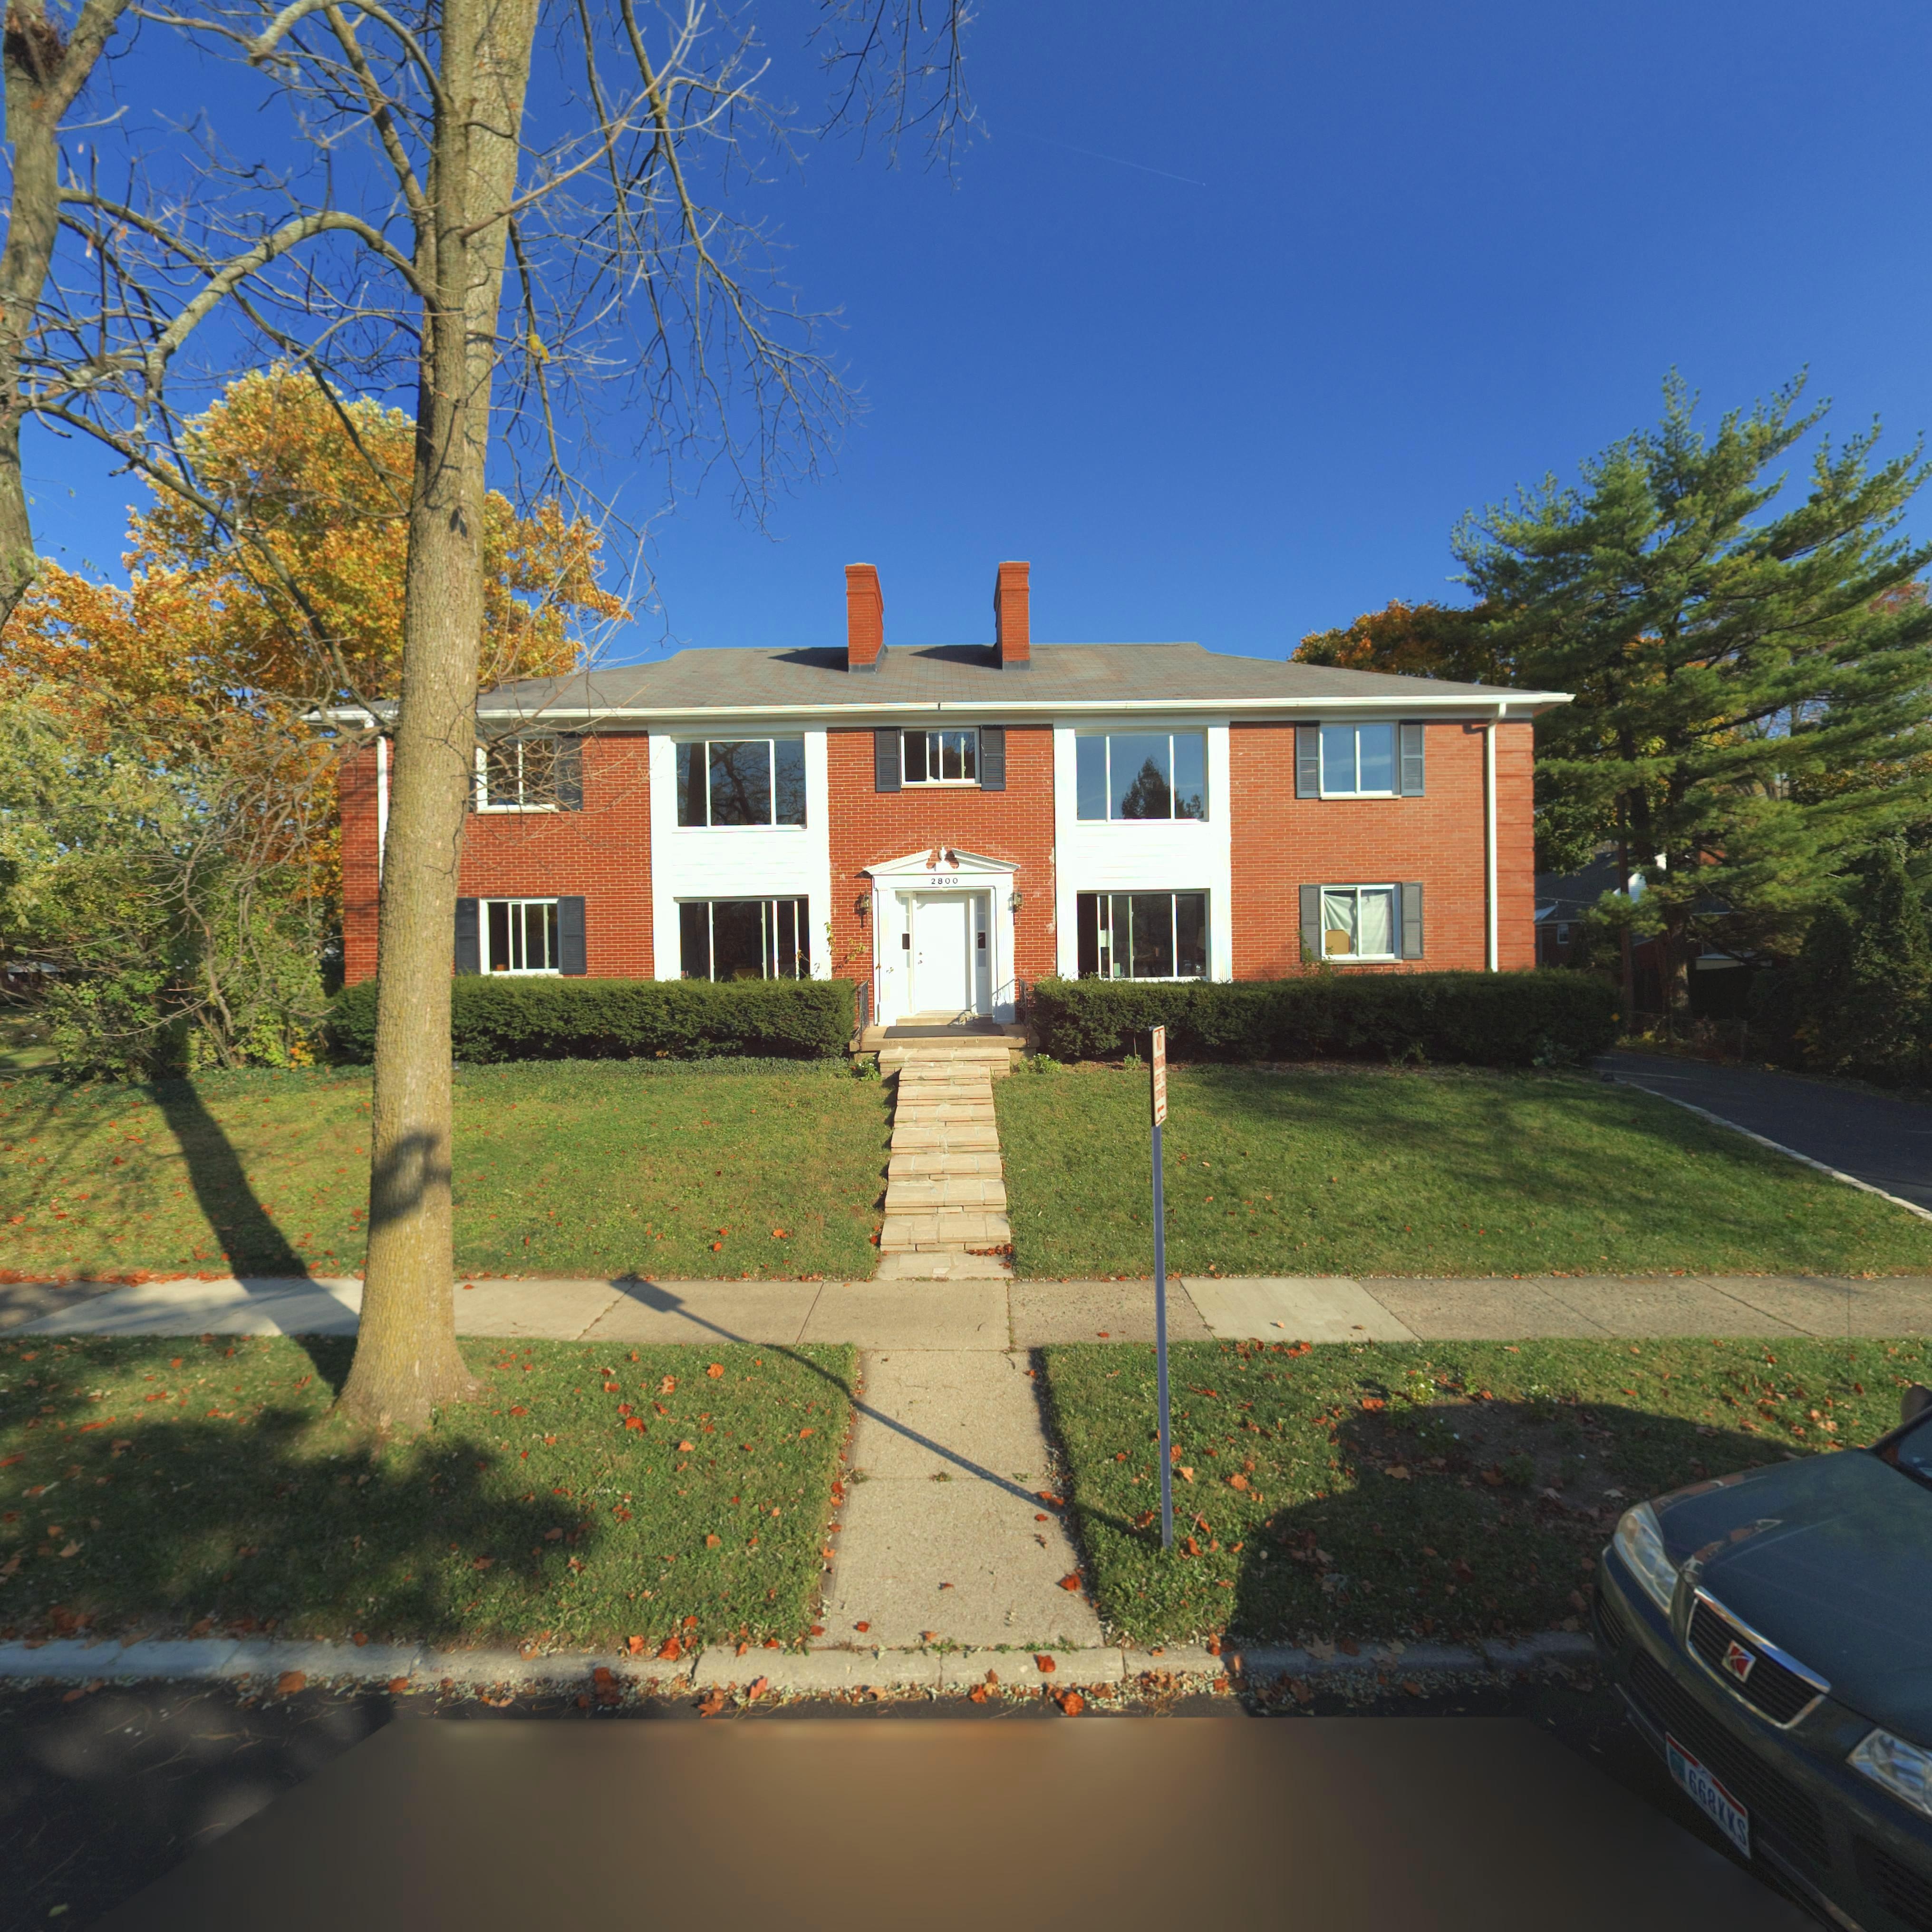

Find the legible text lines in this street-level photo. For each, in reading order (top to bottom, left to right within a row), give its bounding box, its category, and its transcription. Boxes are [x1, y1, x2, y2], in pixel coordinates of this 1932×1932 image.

[929, 876, 960, 886] StreetNumber: 2800